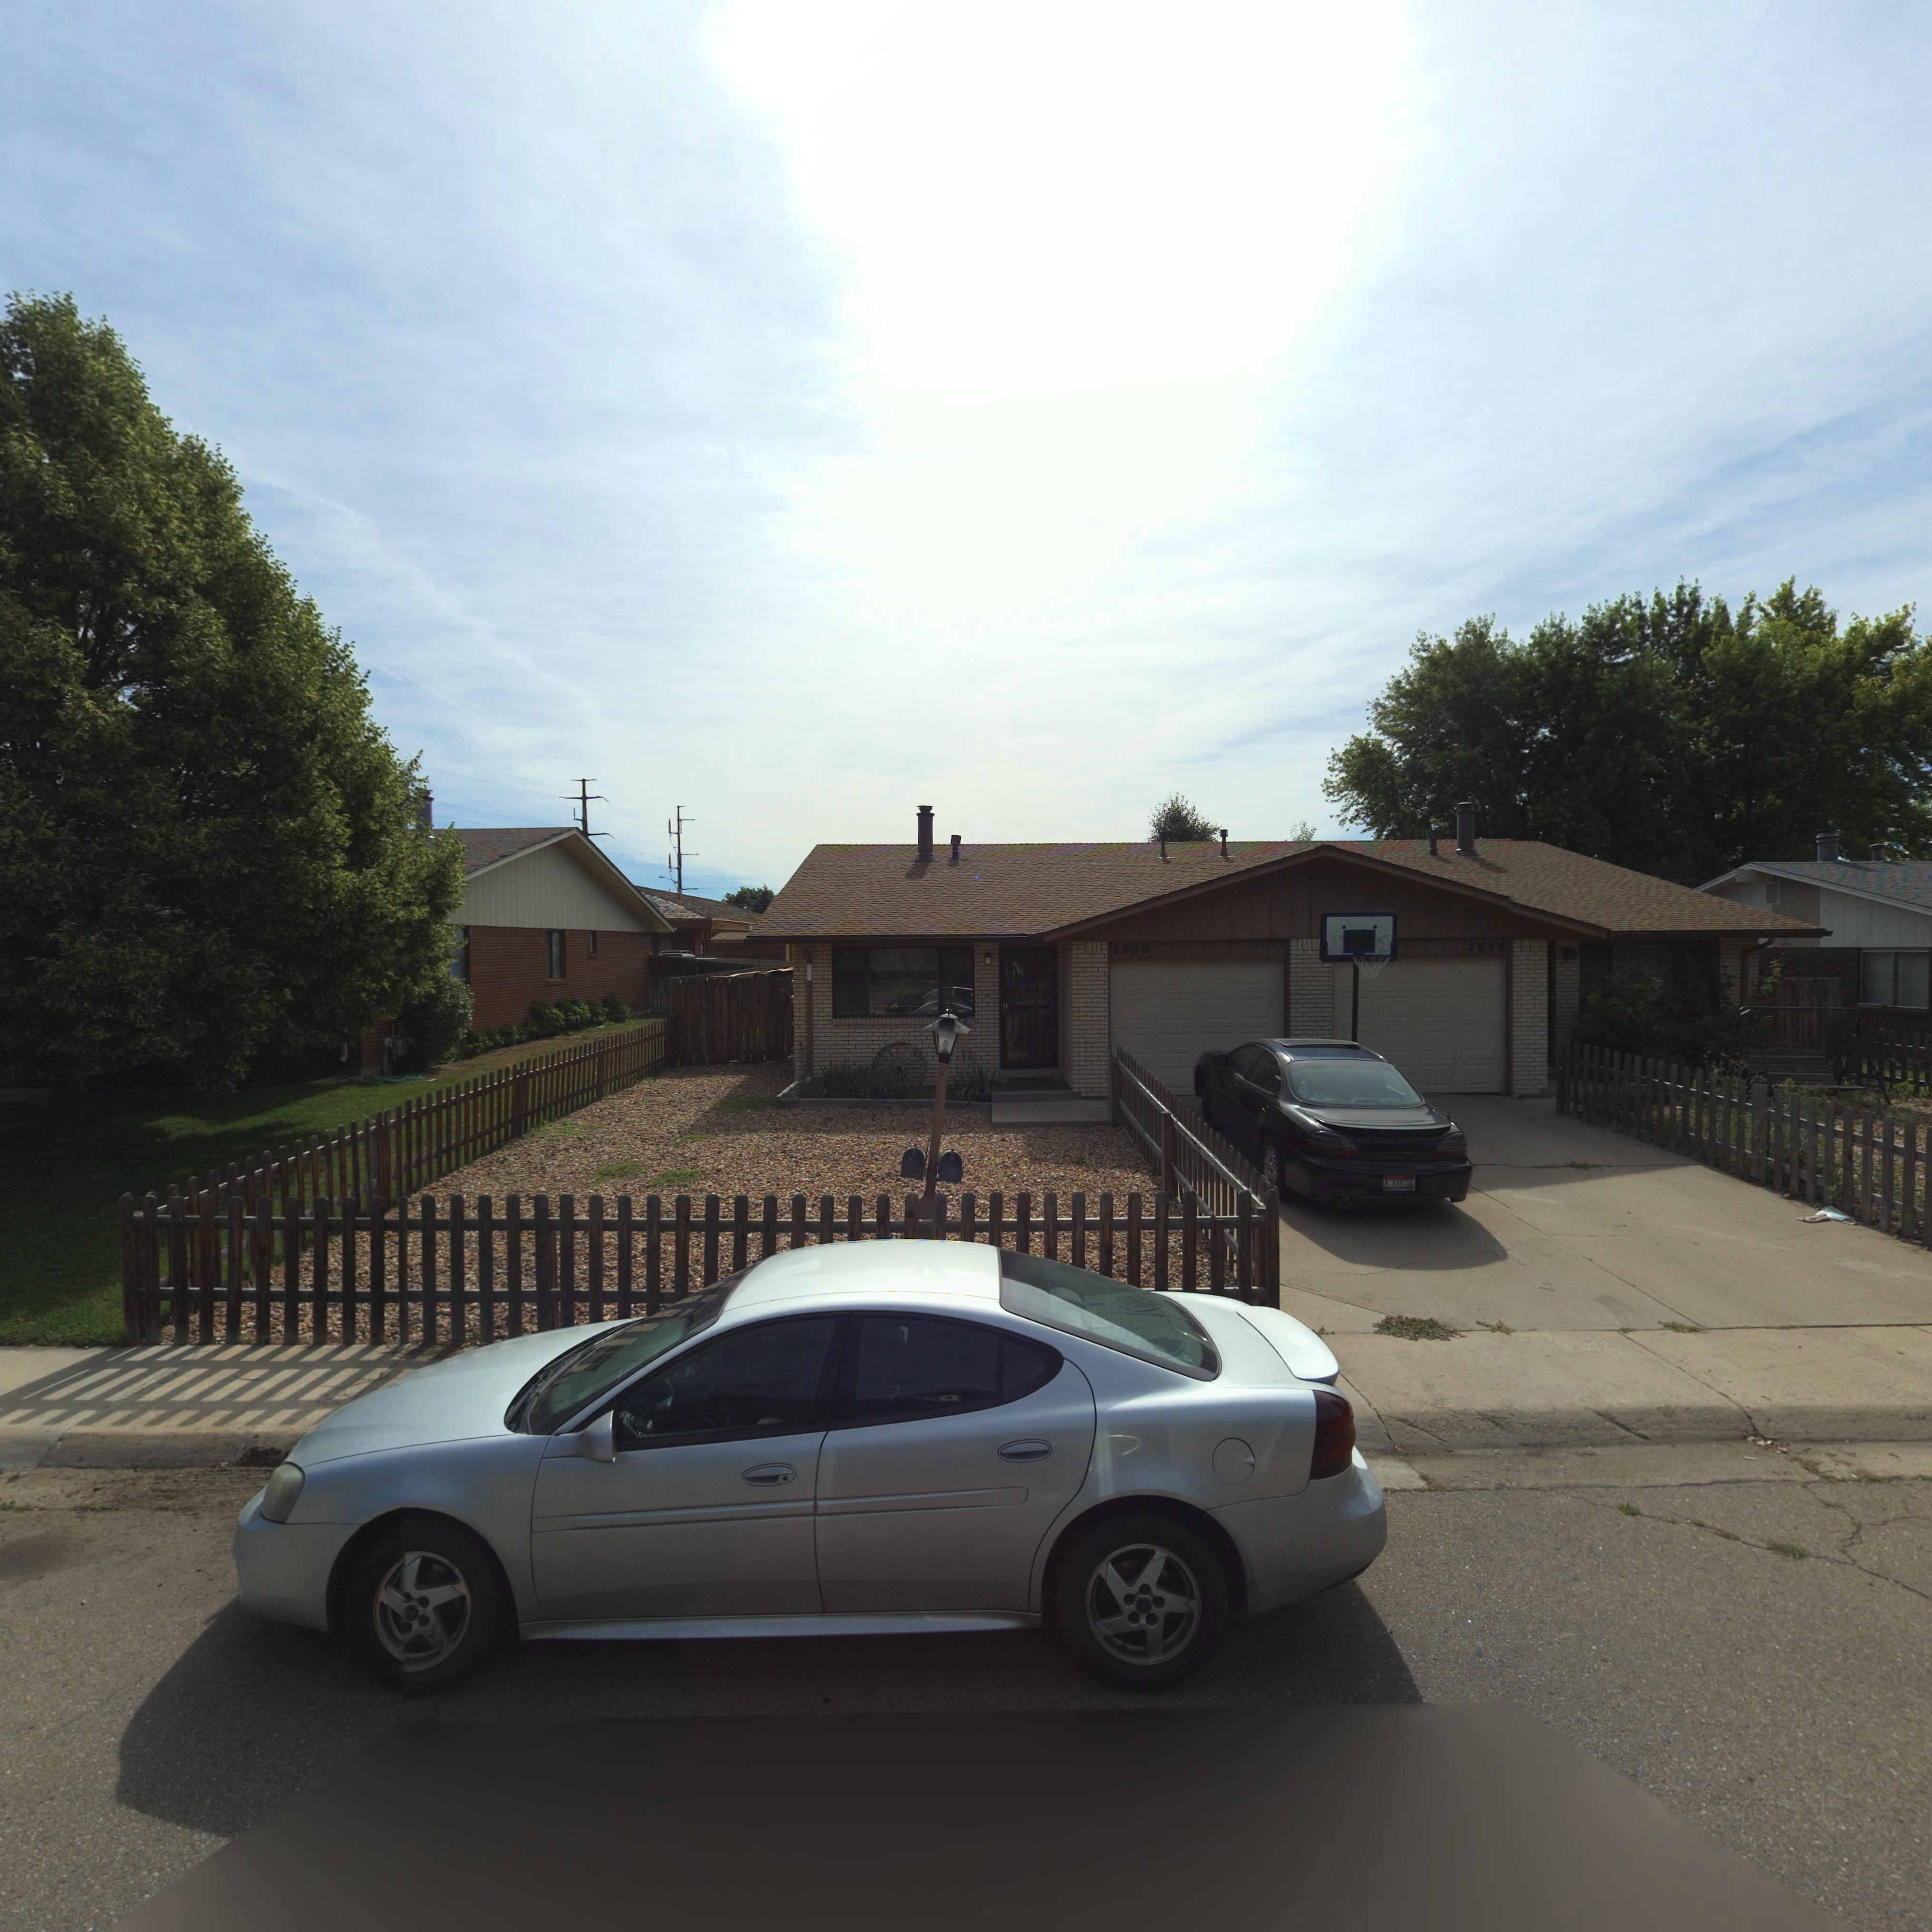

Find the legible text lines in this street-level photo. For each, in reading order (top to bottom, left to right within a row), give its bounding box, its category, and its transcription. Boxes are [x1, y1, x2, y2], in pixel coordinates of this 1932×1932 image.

[1466, 940, 1506, 952] StreetNumber: 2048